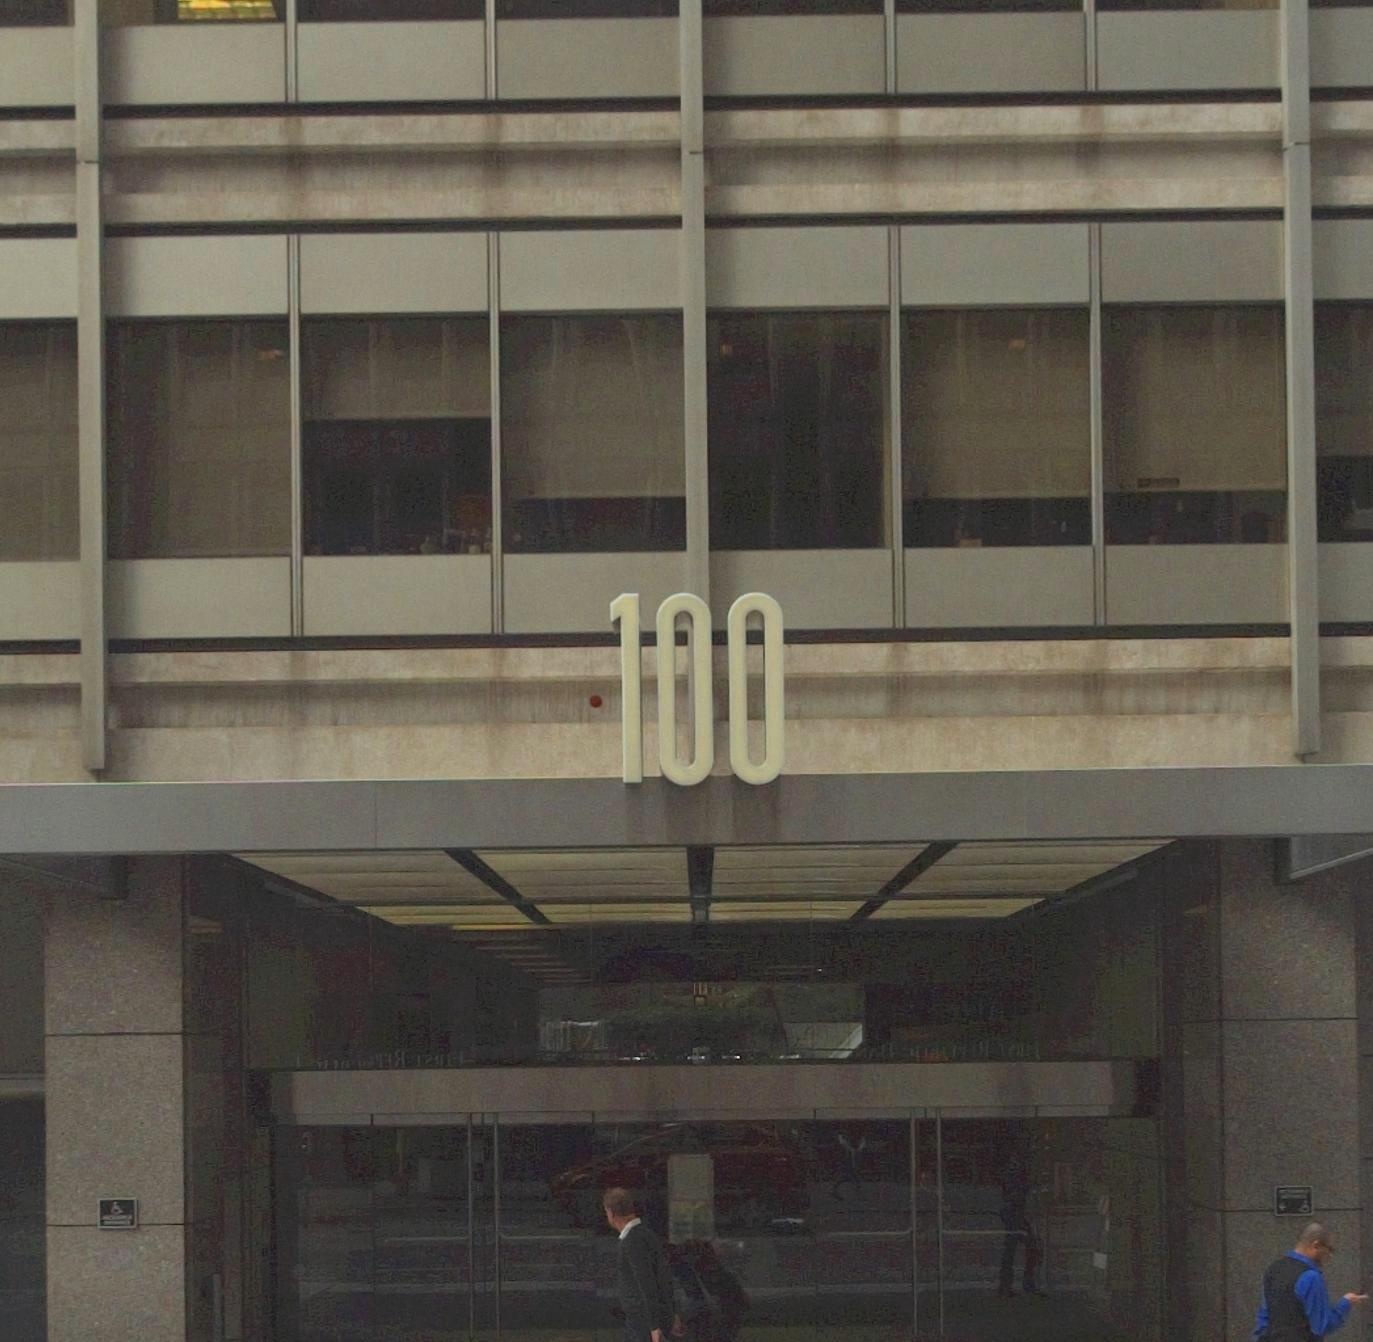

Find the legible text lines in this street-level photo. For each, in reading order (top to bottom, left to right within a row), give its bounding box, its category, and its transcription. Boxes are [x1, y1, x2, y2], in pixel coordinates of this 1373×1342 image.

[608, 591, 787, 788] StreetNumber: 100